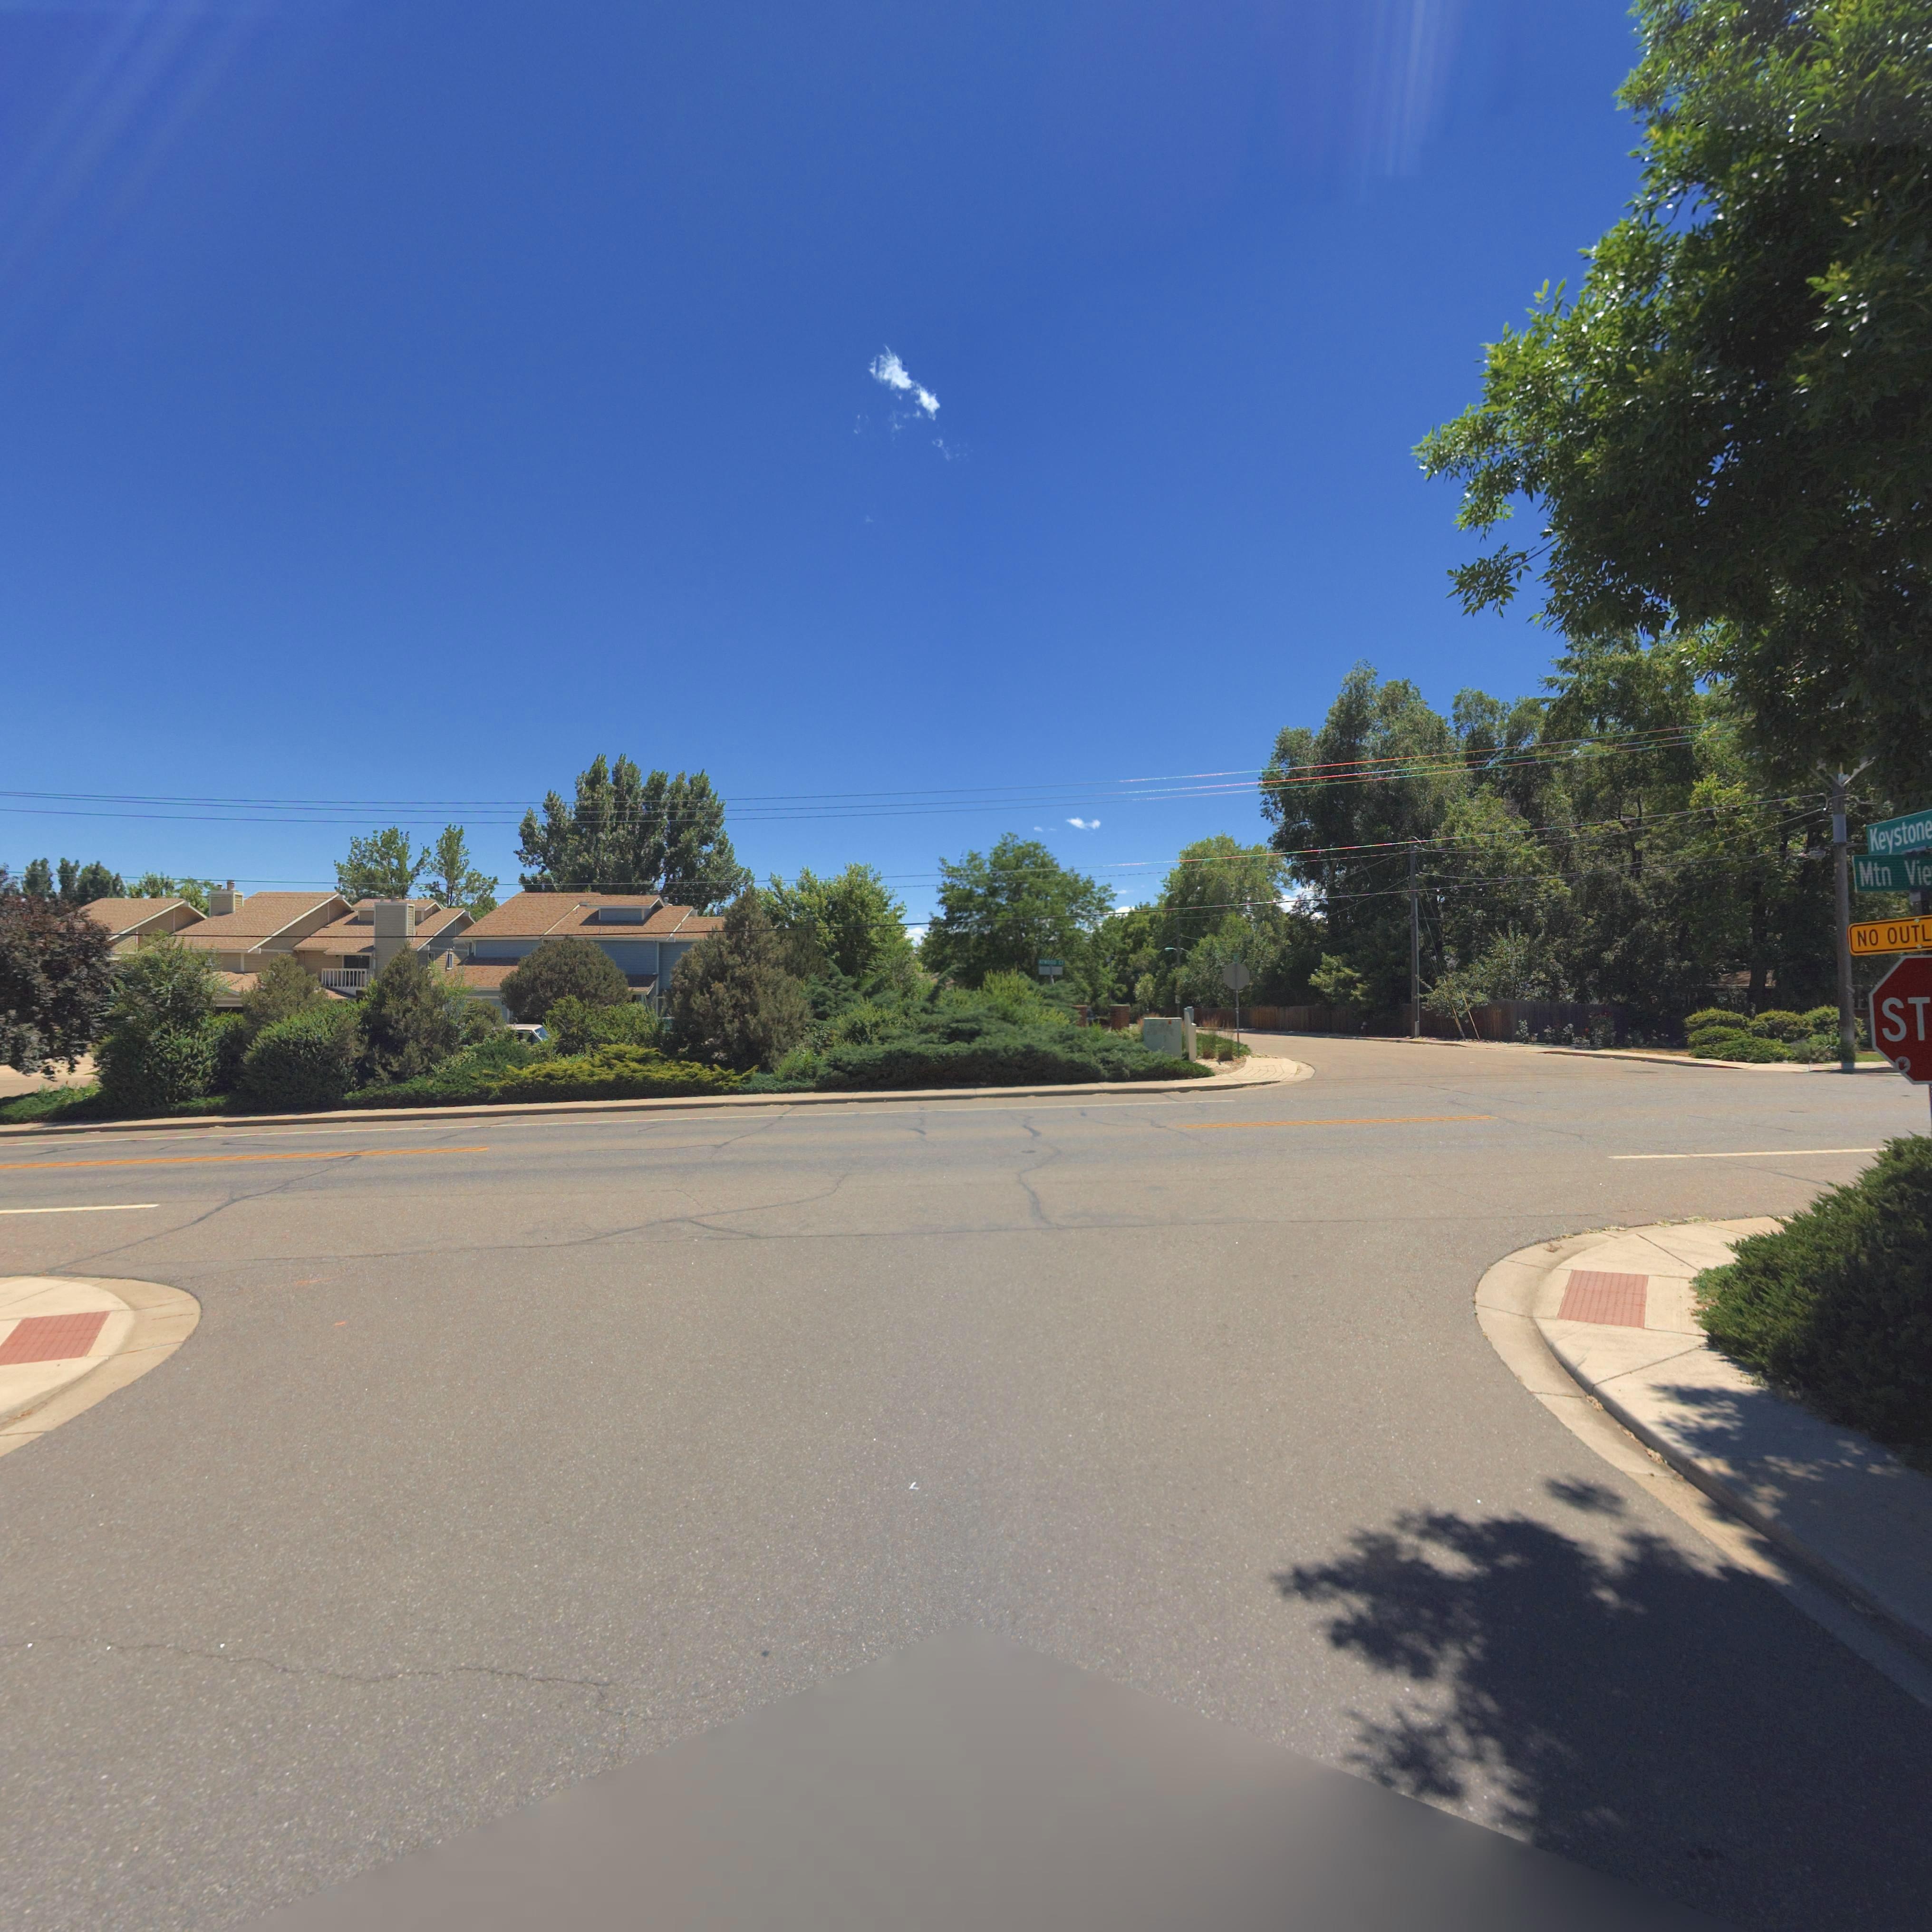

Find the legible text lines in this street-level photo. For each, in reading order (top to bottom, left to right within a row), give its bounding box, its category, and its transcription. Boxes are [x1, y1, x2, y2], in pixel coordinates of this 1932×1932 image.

[1869, 820, 1931, 854] StreetName: Keyston*
[1860, 859, 1930, 886] StreetName: Mtn Vie
[1038, 959, 1064, 965] StreetName: AT*OOD CT